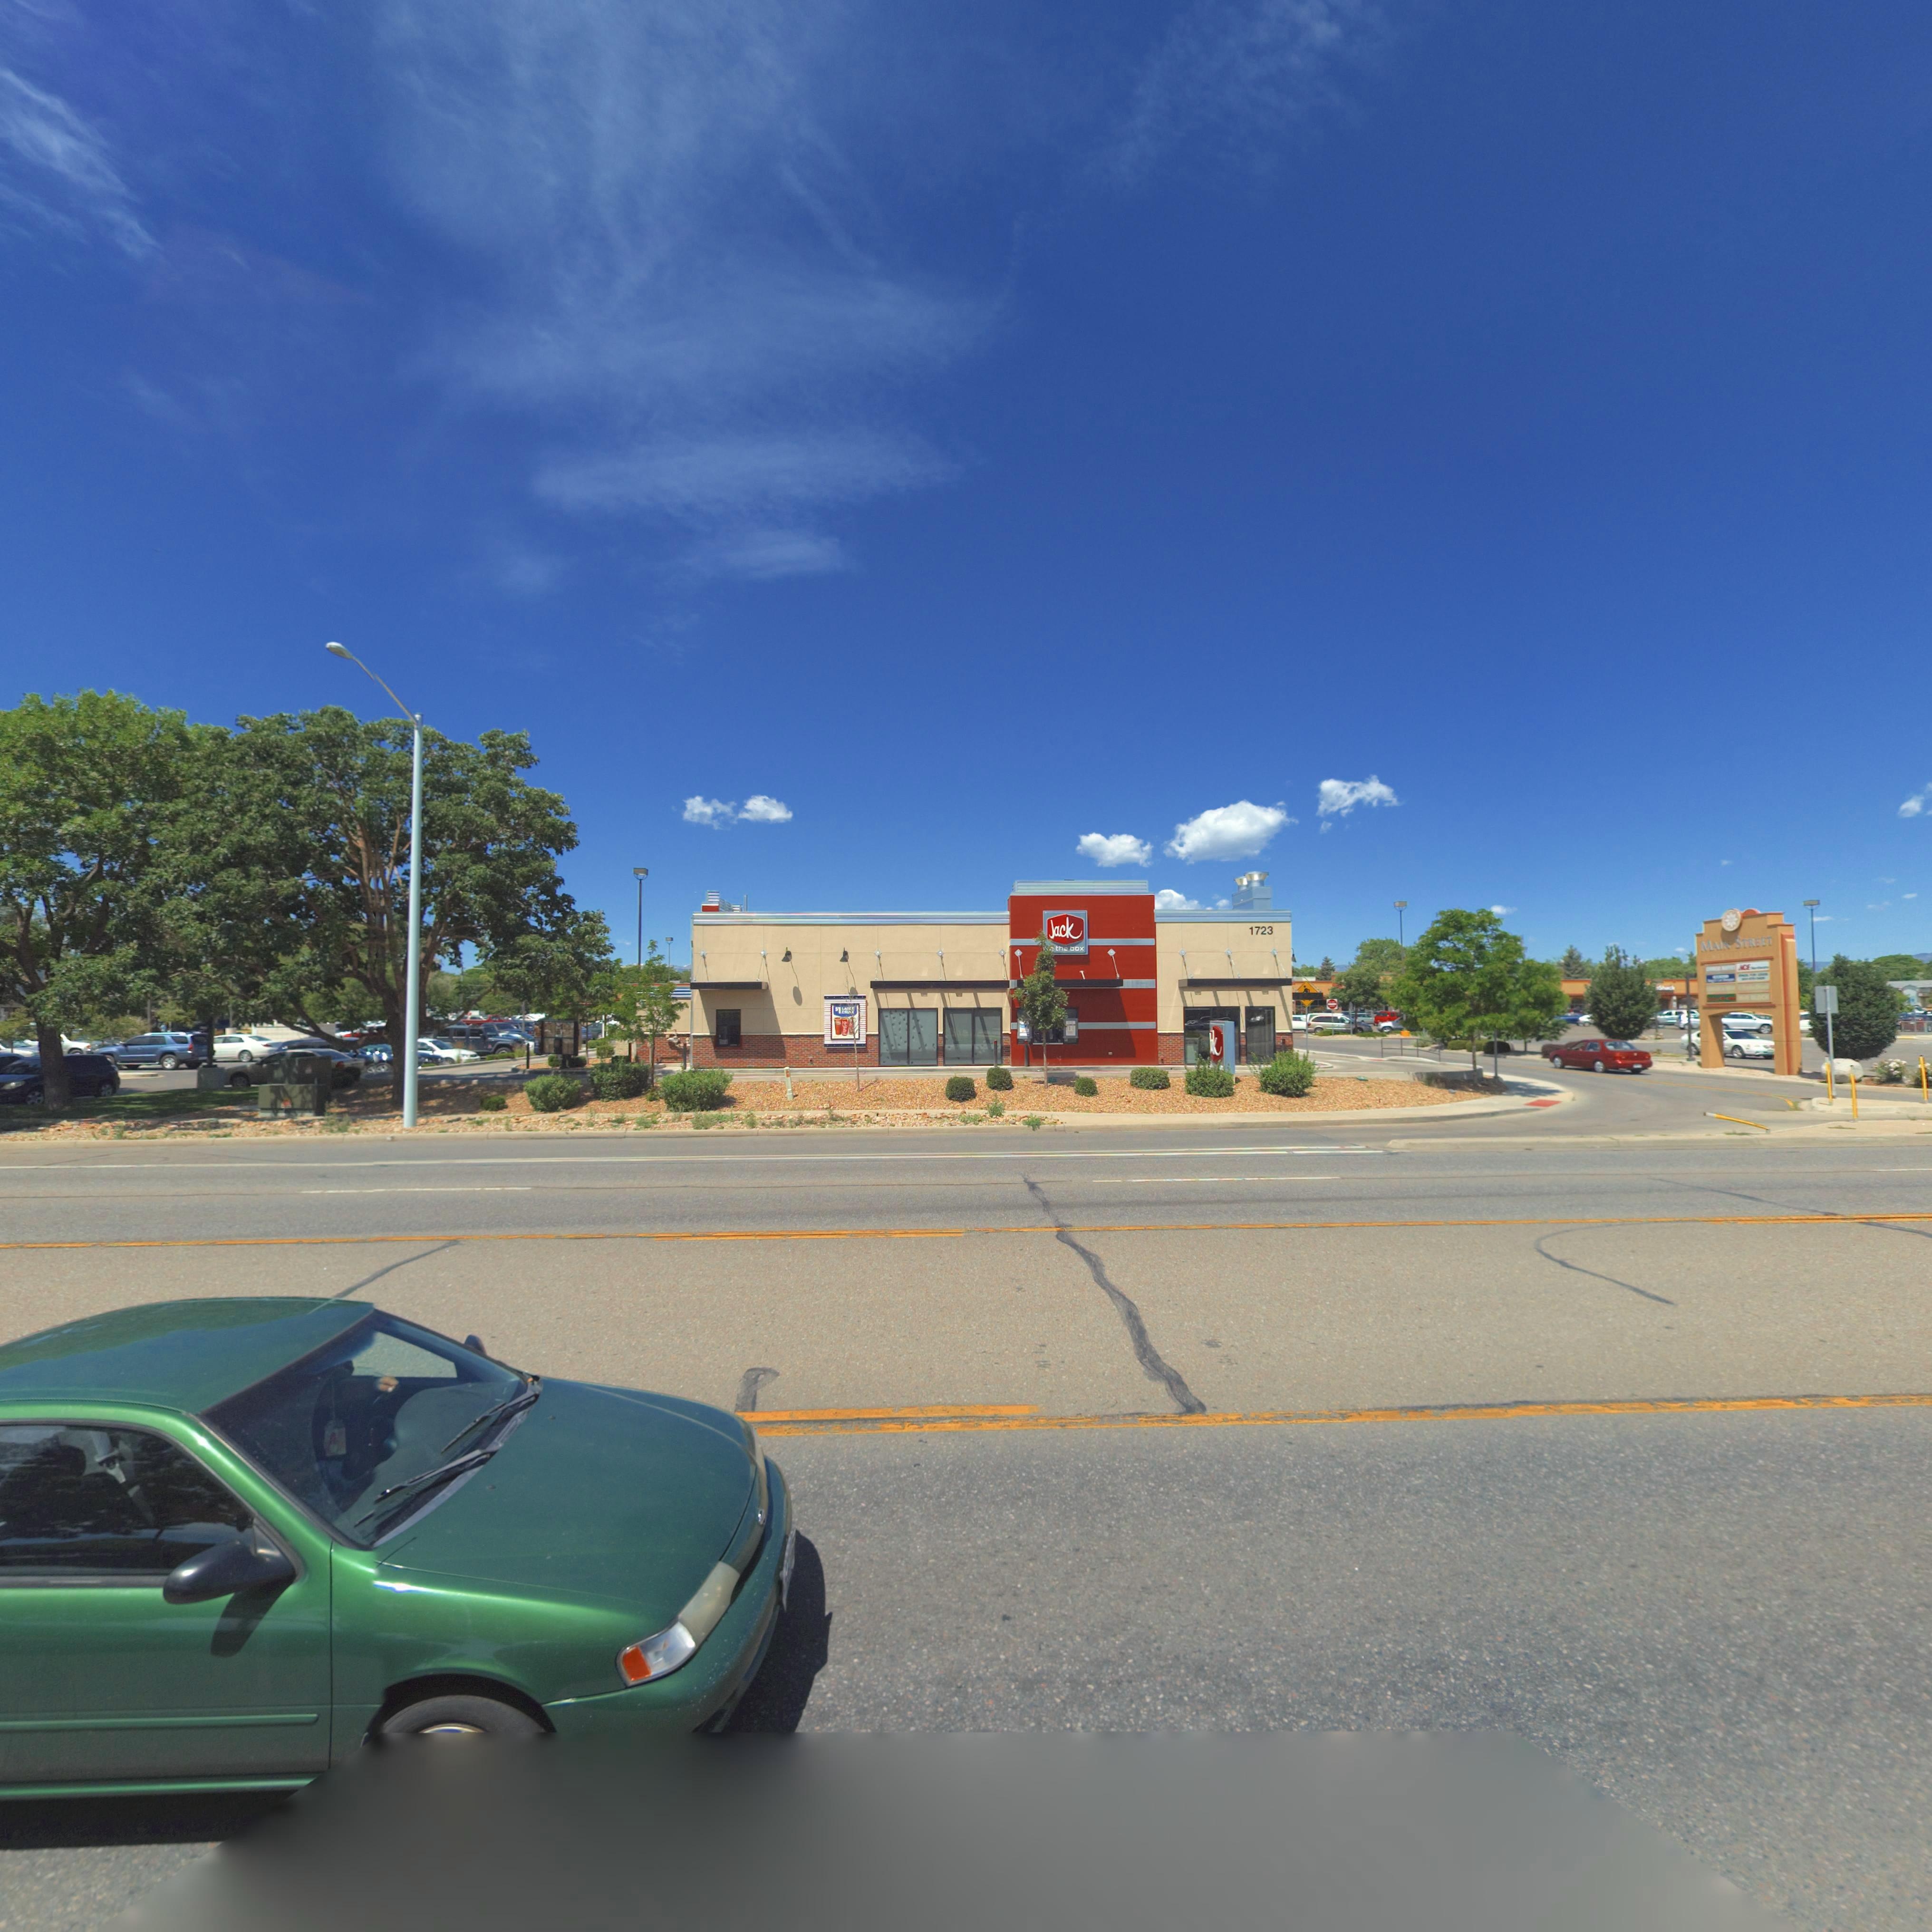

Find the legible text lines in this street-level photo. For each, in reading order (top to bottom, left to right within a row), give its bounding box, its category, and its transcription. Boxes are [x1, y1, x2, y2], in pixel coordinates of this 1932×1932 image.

[1048, 916, 1082, 939] BusinessName: Jack
[1248, 925, 1273, 935] StreetNumber: 1723
[1049, 945, 1084, 951] BusinessName: *the box
[1737, 964, 1751, 971] BusinessName: *CE
[1655, 984, 1676, 990] BusinessName: *S**ck
[1737, 993, 1770, 1001] BusinessName: *** **C*
[1208, 1029, 1222, 1056] BusinessName: ***k